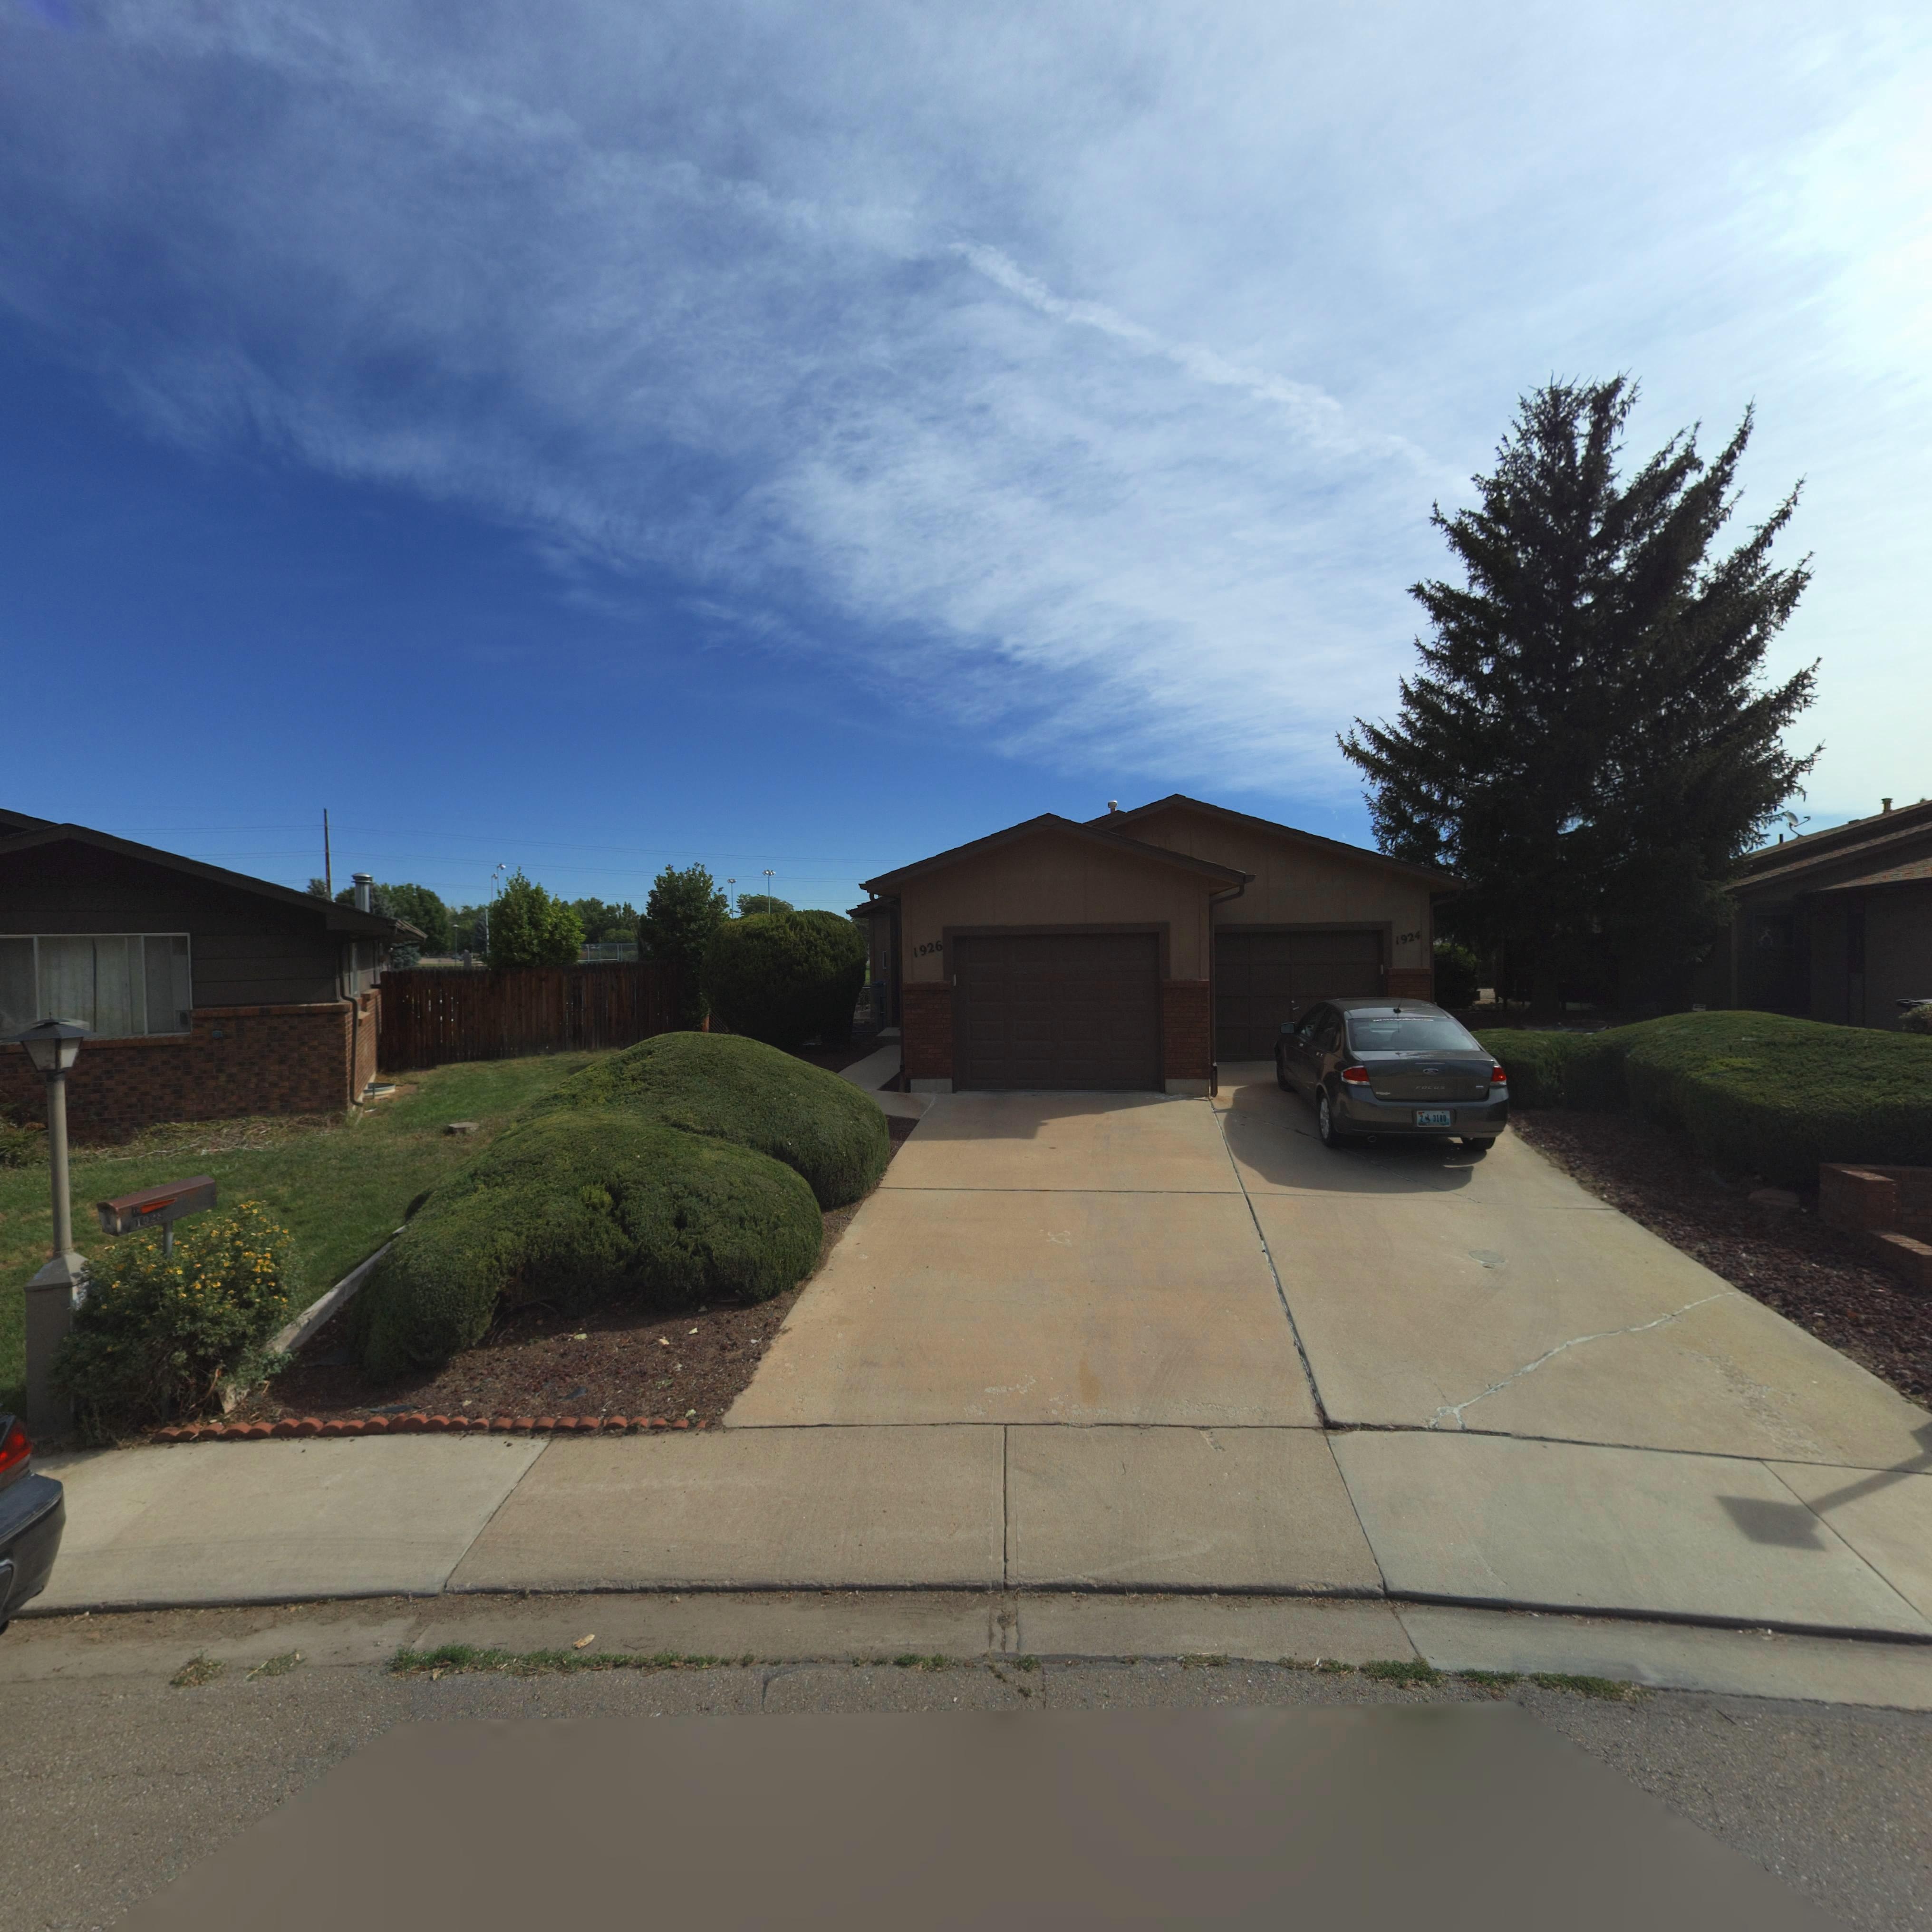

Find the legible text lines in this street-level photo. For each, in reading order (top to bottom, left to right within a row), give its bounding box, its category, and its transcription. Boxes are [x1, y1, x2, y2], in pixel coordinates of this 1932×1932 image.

[1395, 929, 1421, 946] StreetNumber: 1924
[912, 939, 944, 958] StreetNumber: 1926
[136, 1210, 164, 1227] StreetNumber: 1928